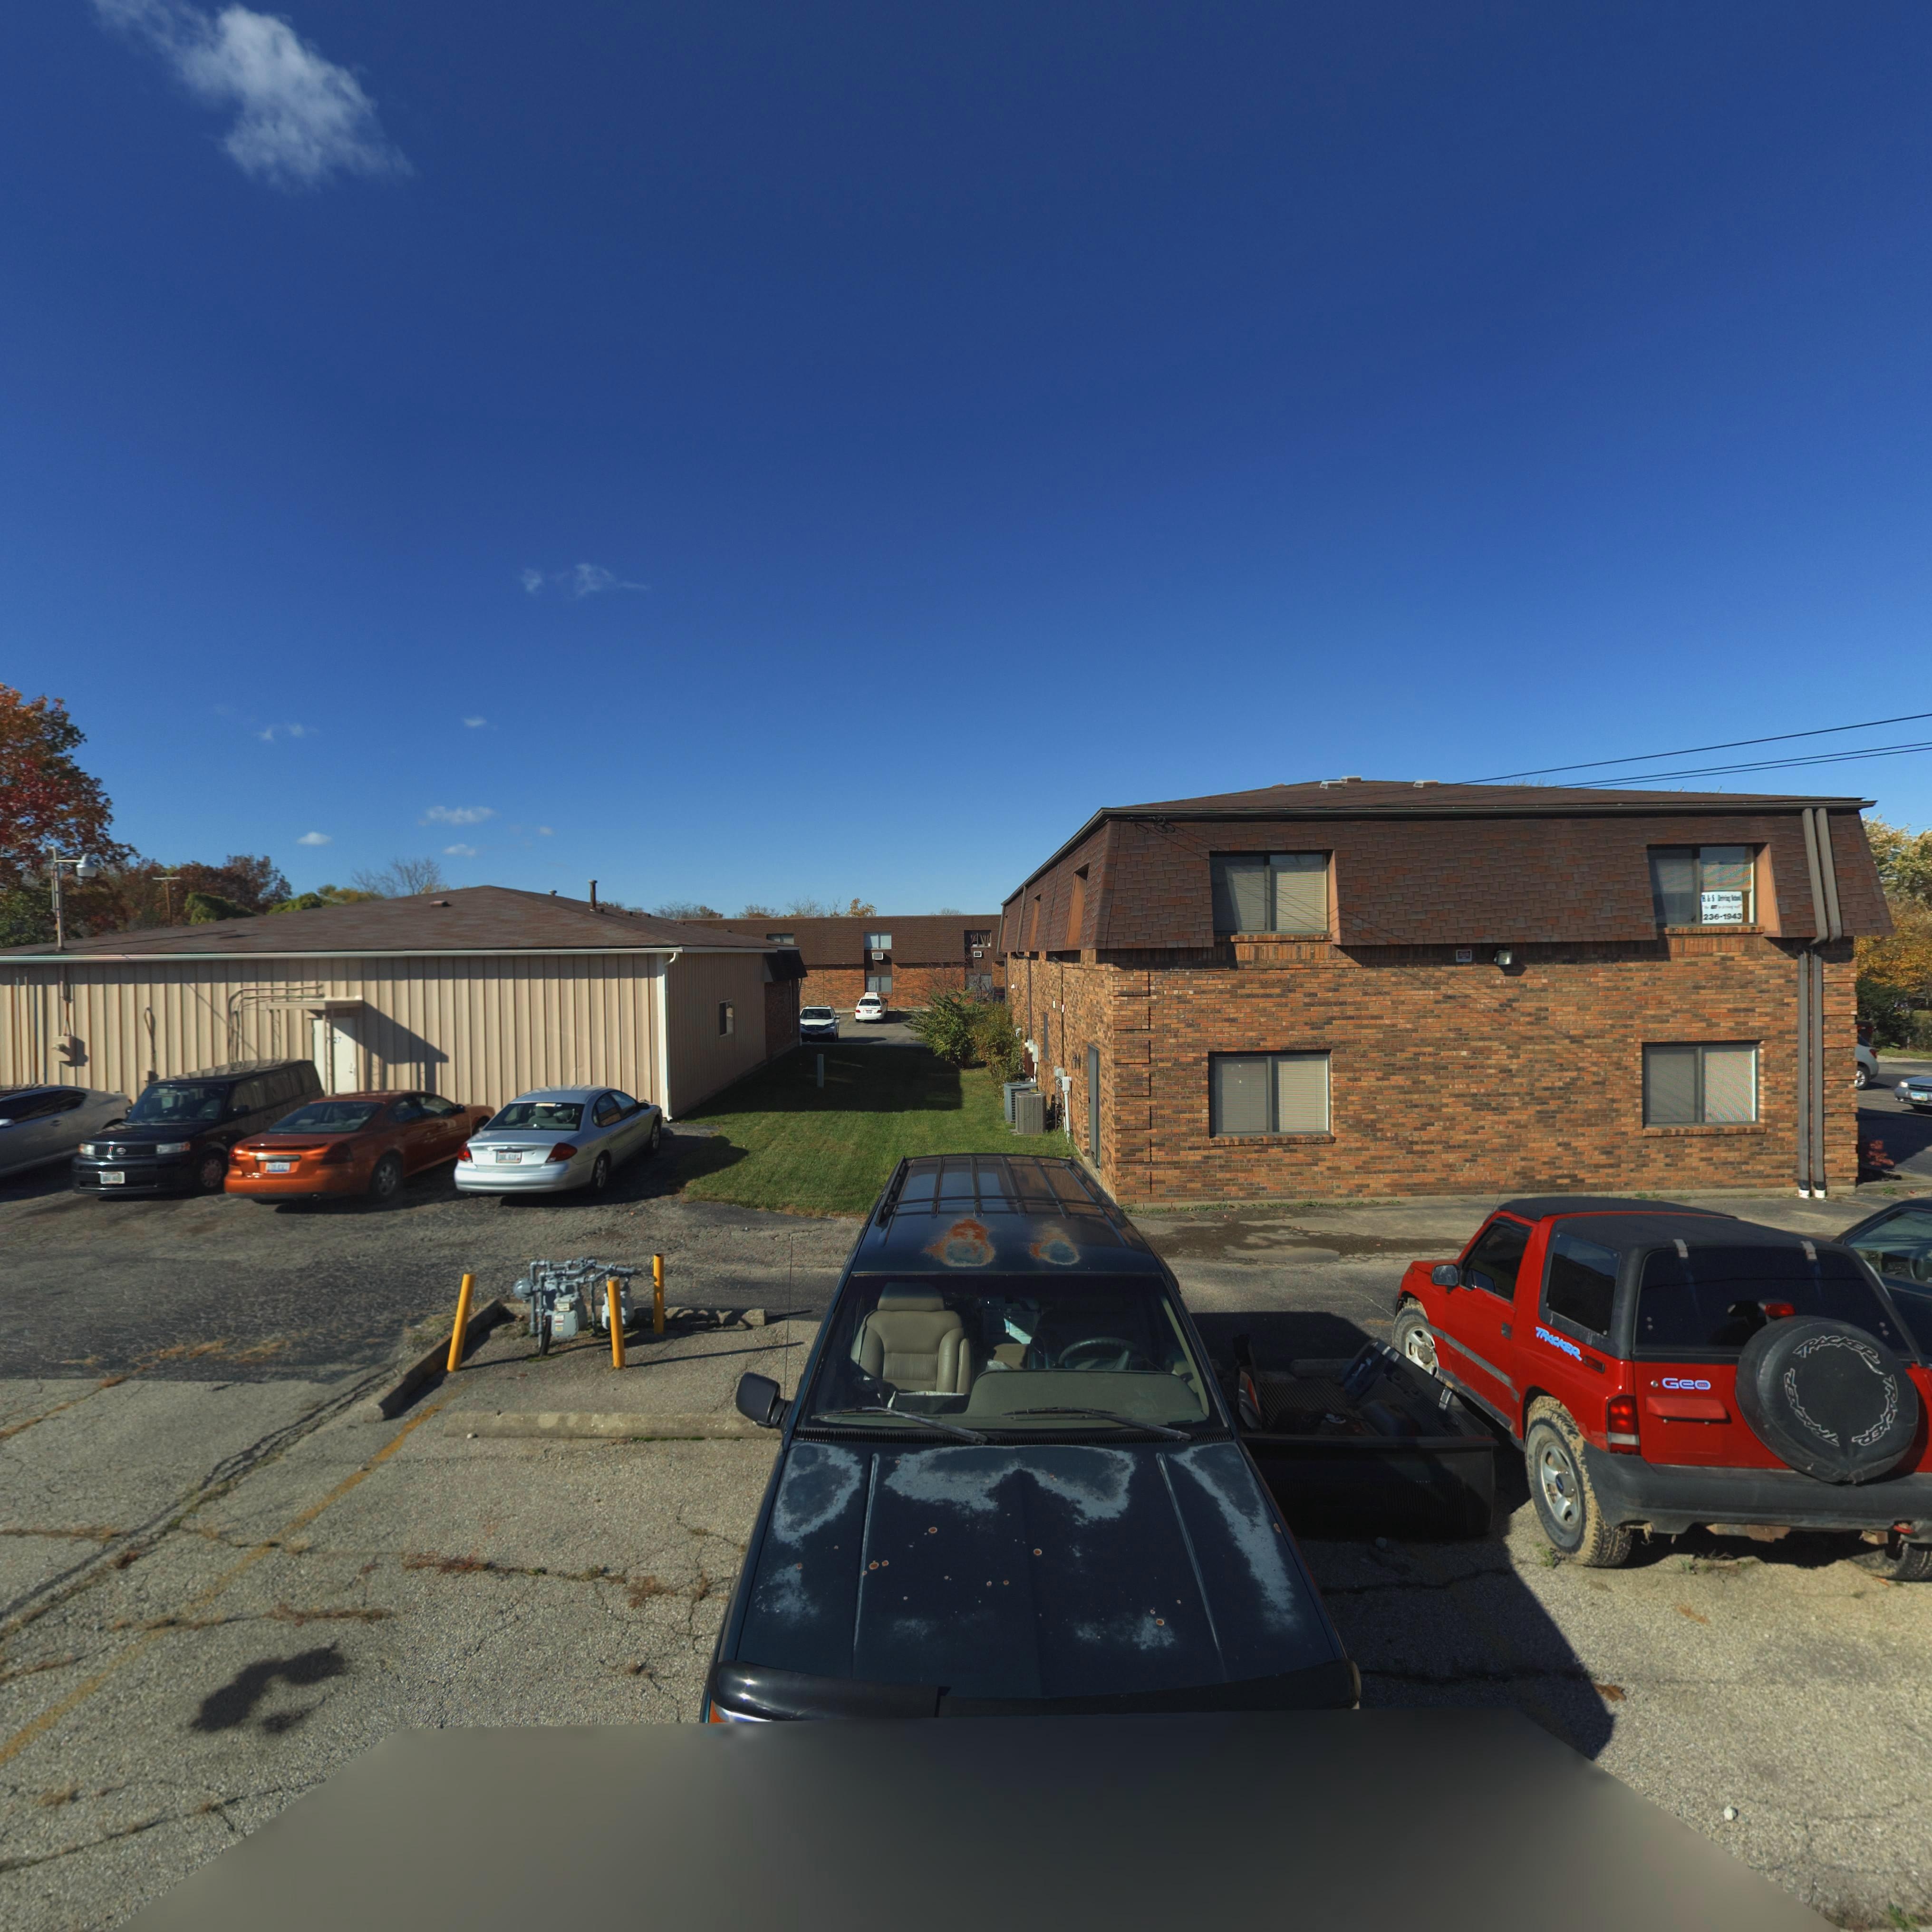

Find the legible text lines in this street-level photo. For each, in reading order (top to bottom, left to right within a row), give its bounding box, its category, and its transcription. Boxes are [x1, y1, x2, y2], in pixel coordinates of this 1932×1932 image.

[332, 1036, 342, 1043] StreetNumber: 27